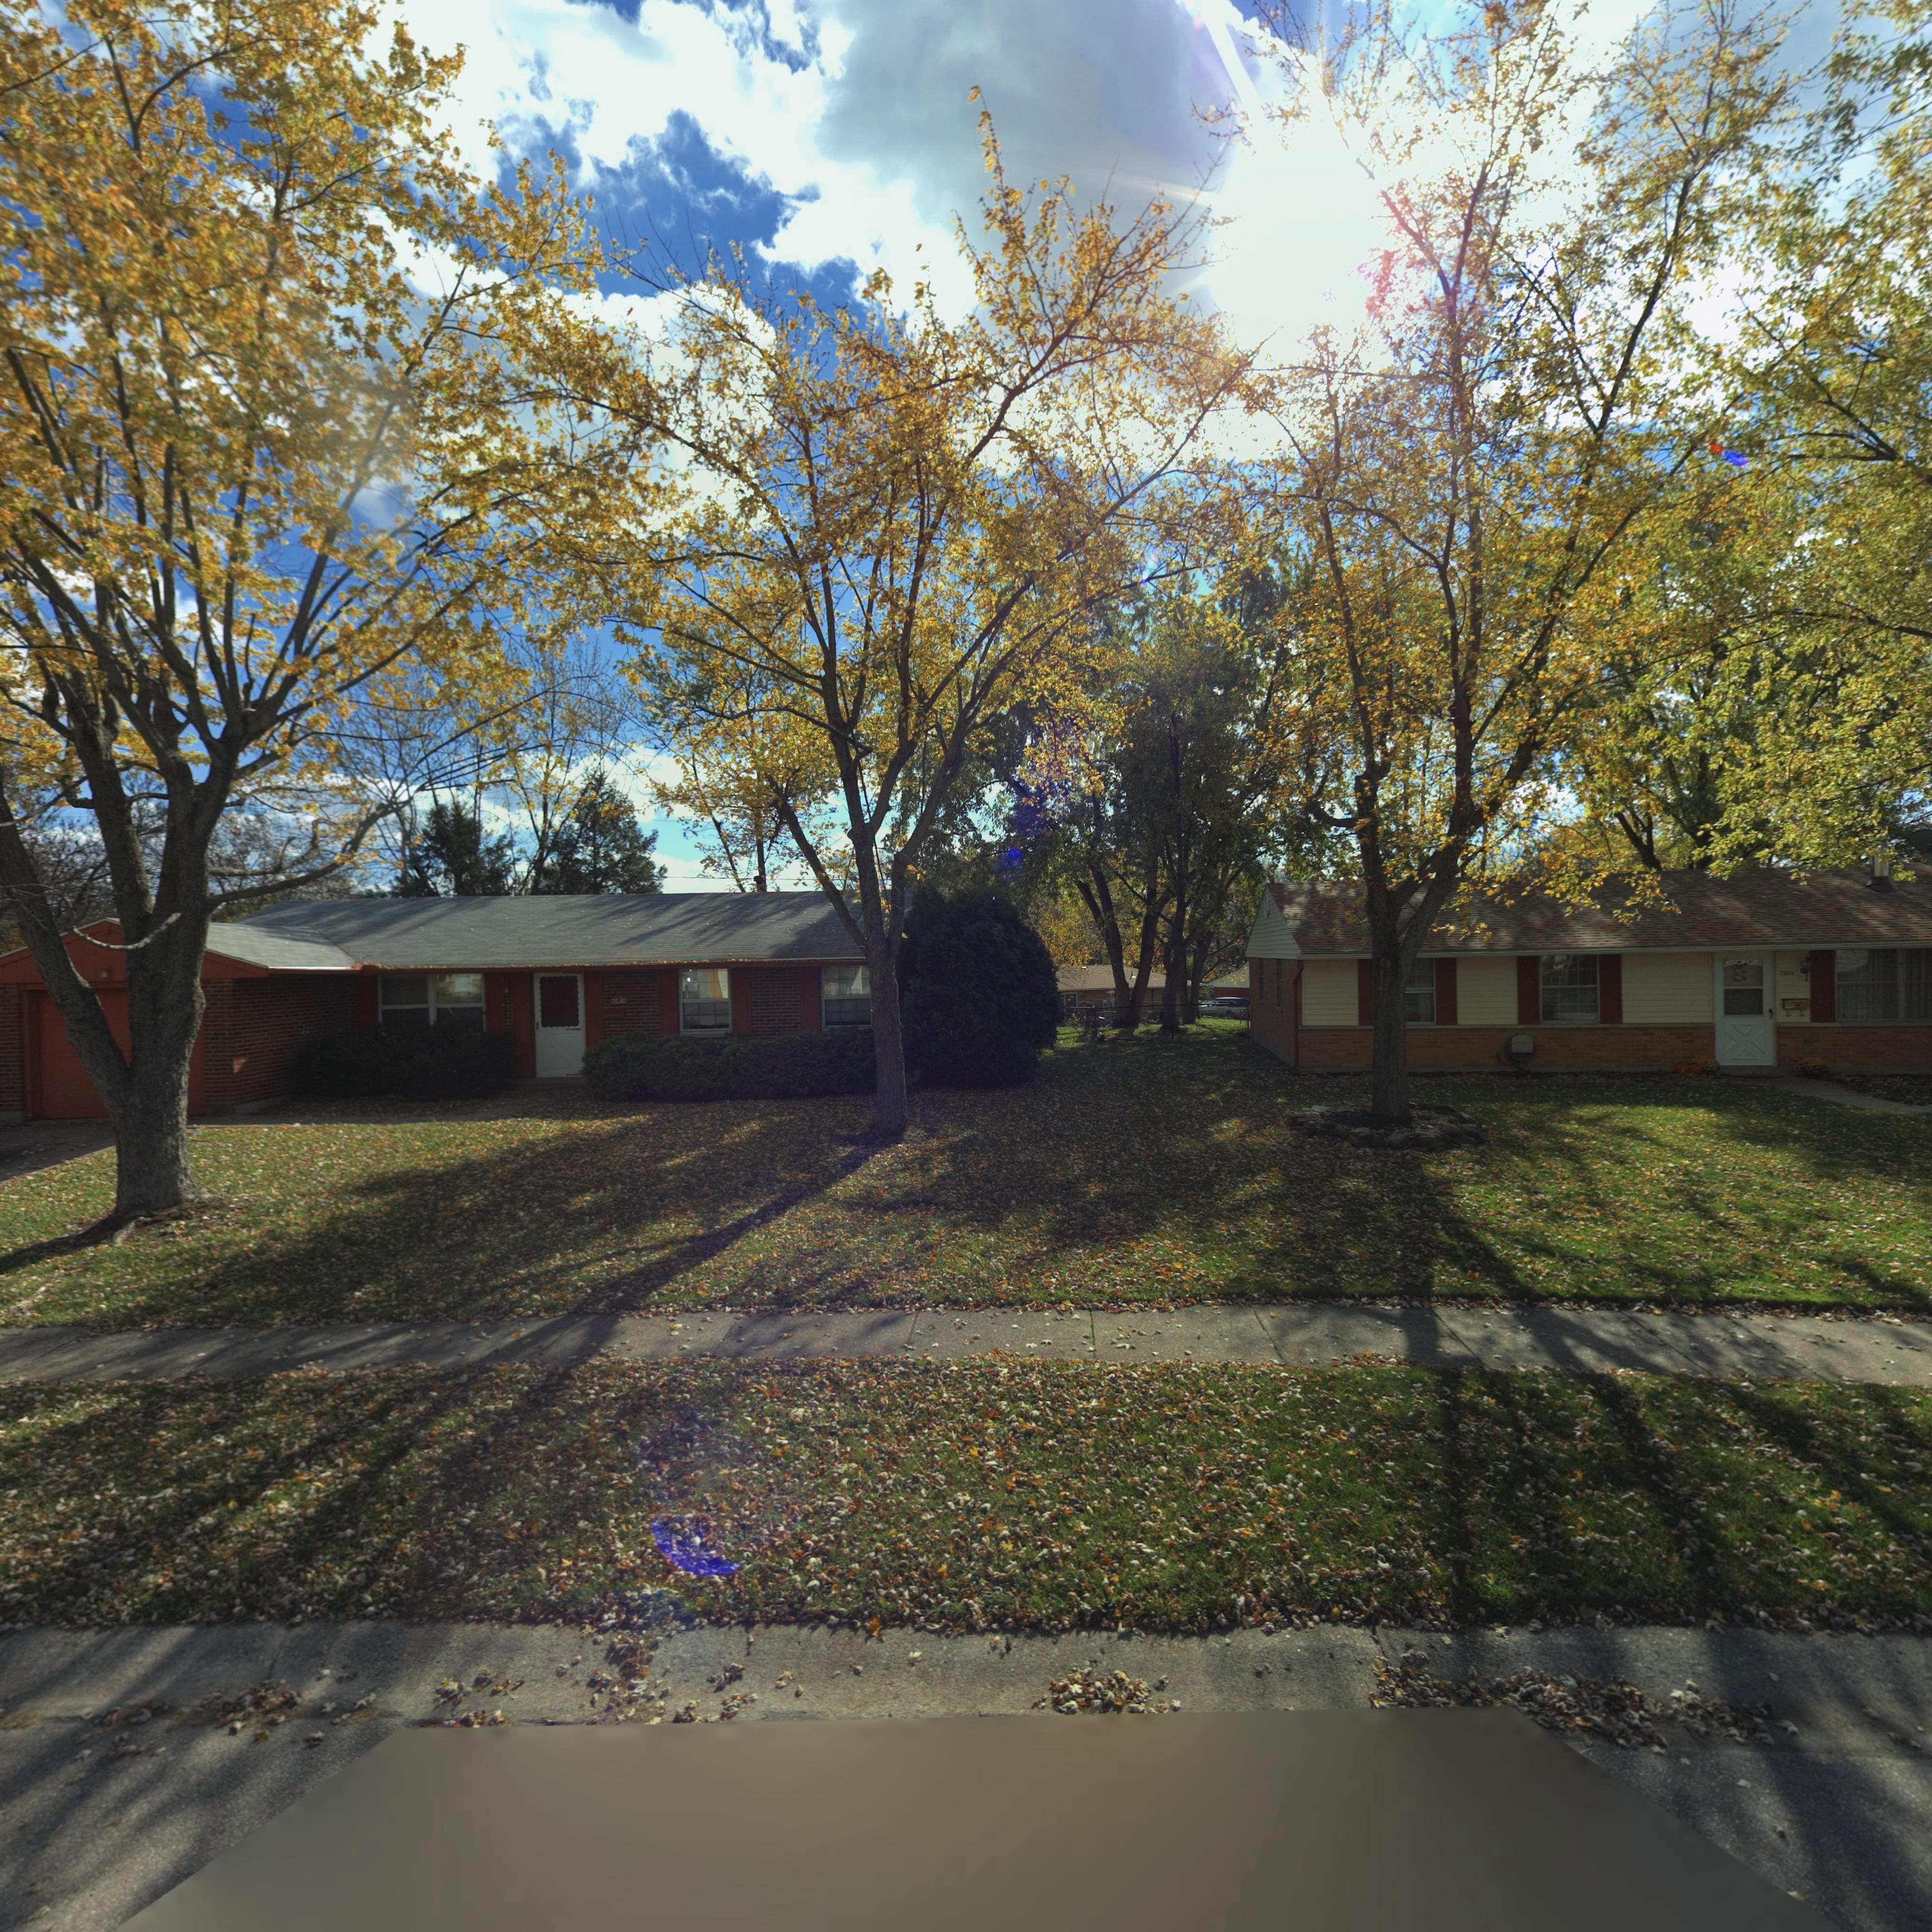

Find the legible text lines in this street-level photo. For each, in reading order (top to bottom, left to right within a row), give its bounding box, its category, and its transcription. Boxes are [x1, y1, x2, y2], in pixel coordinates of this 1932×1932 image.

[1778, 969, 1795, 976] StreetNumber: 7624
[610, 997, 627, 1005] StreetNumber: 7630